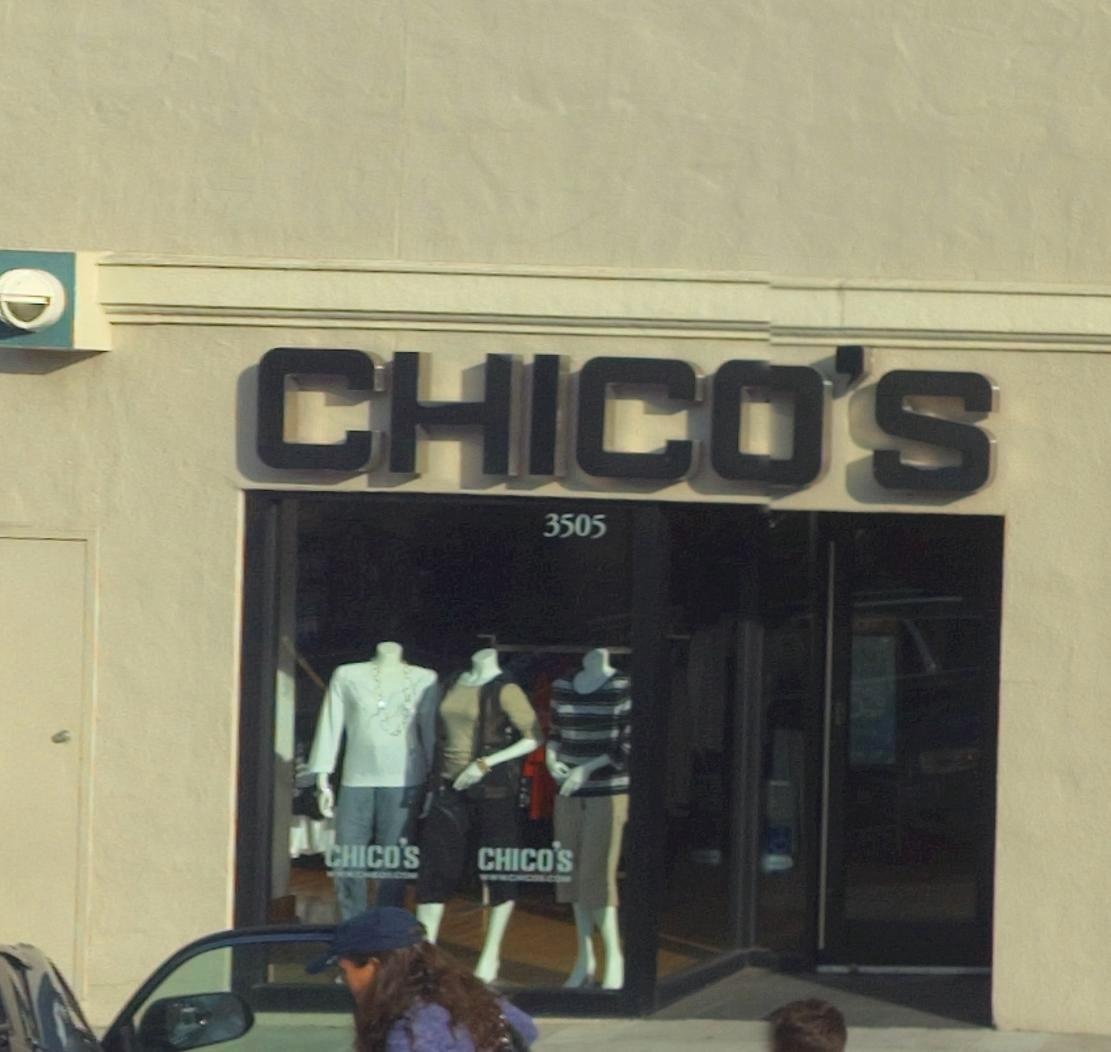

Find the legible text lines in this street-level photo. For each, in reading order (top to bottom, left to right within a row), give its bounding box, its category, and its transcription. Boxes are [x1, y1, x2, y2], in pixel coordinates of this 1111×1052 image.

[252, 341, 1001, 497] BusinessName: CHIC*'S
[540, 510, 610, 541] StreetNumber: 3505
[322, 834, 423, 872] BusinessName: CHICO'S
[475, 838, 576, 875] BusinessName: CHICO'S